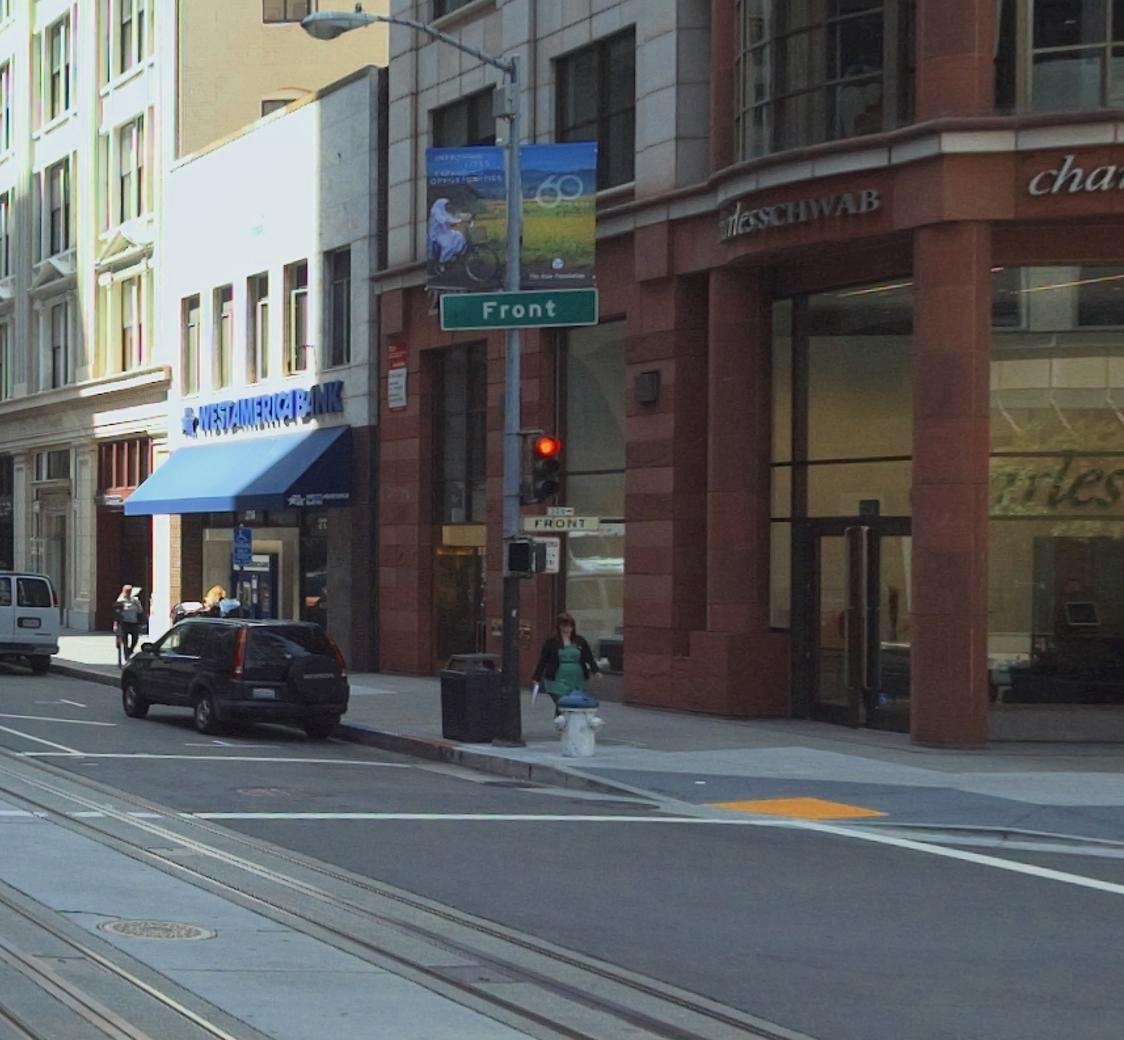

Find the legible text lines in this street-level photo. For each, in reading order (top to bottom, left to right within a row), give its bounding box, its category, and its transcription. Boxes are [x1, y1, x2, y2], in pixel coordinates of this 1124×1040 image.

[1020, 151, 1120, 198] BusinessName: cha
[726, 185, 883, 240] BusinessName: rlesSCHWAB
[426, 288, 440, 317] None: 2
[481, 298, 558, 322] StreetName: Front
[197, 378, 344, 434] BusinessName: WESTAMERICA BANK
[979, 448, 1123, 513] BusinessName: arles
[533, 518, 587, 530] StreetName: FRONT